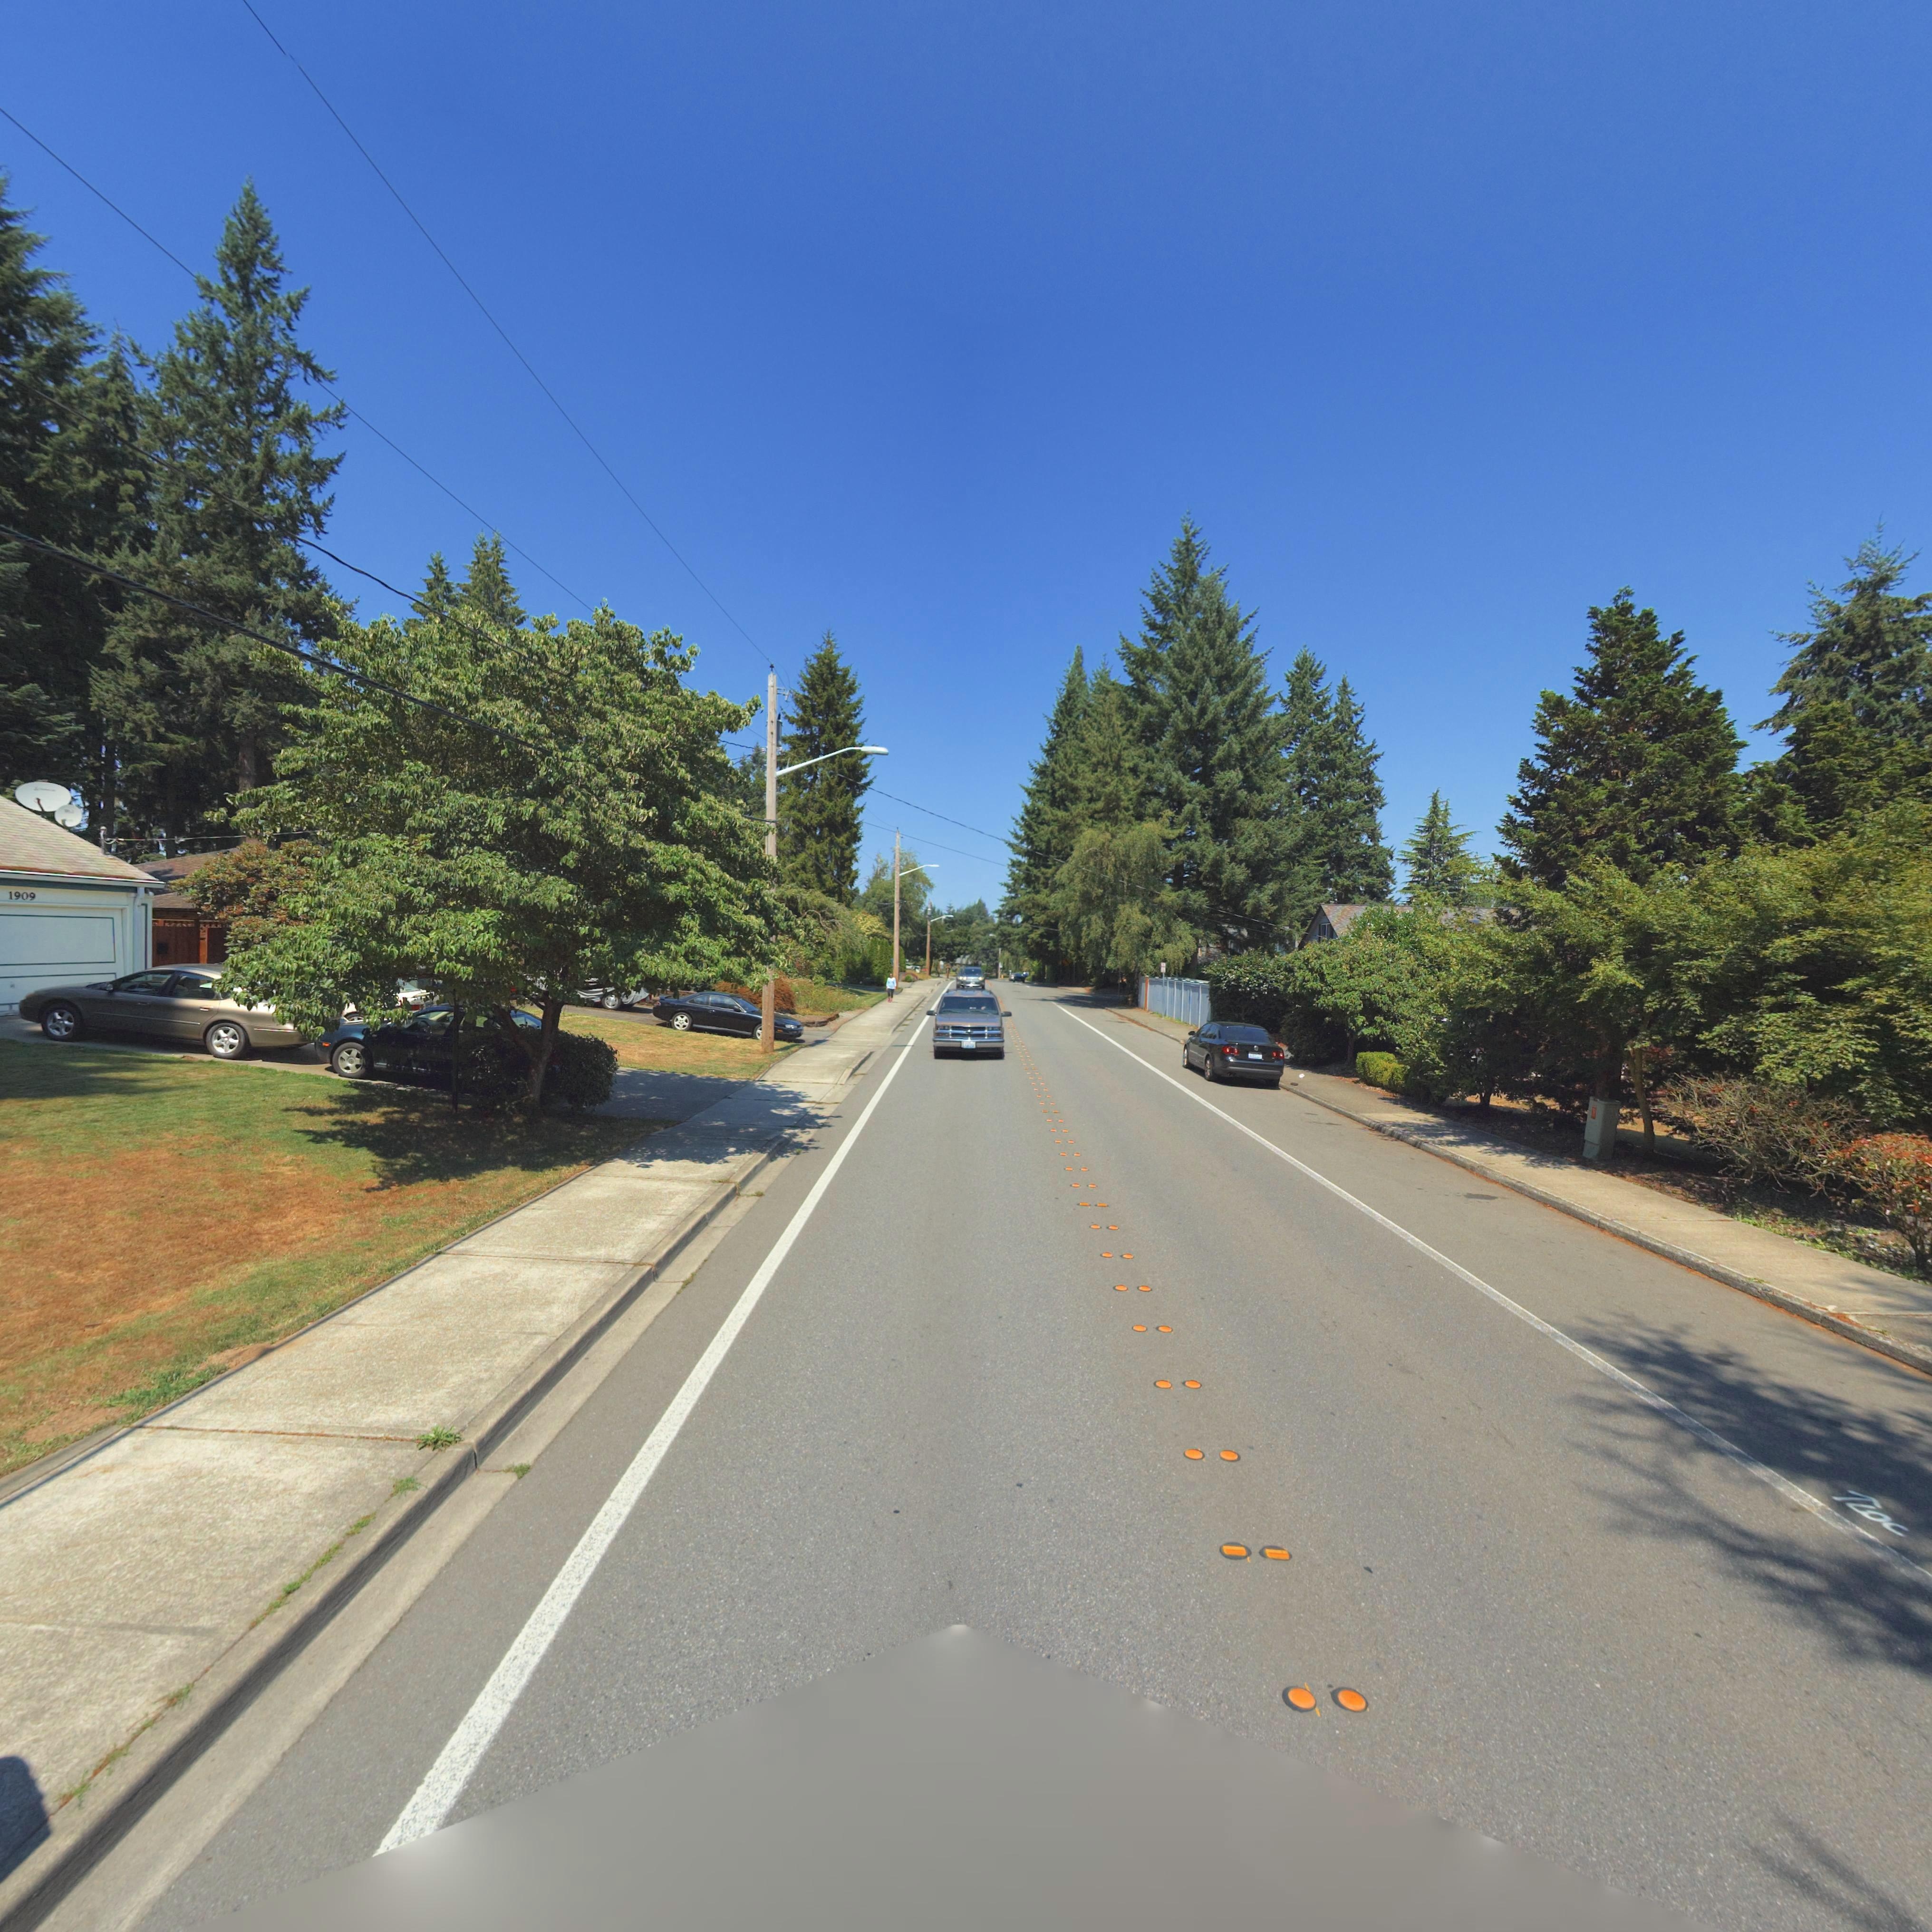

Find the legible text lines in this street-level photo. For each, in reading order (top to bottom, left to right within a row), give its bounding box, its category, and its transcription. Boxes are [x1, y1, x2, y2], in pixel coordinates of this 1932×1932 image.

[10, 891, 35, 900] StreetNumber: 1909